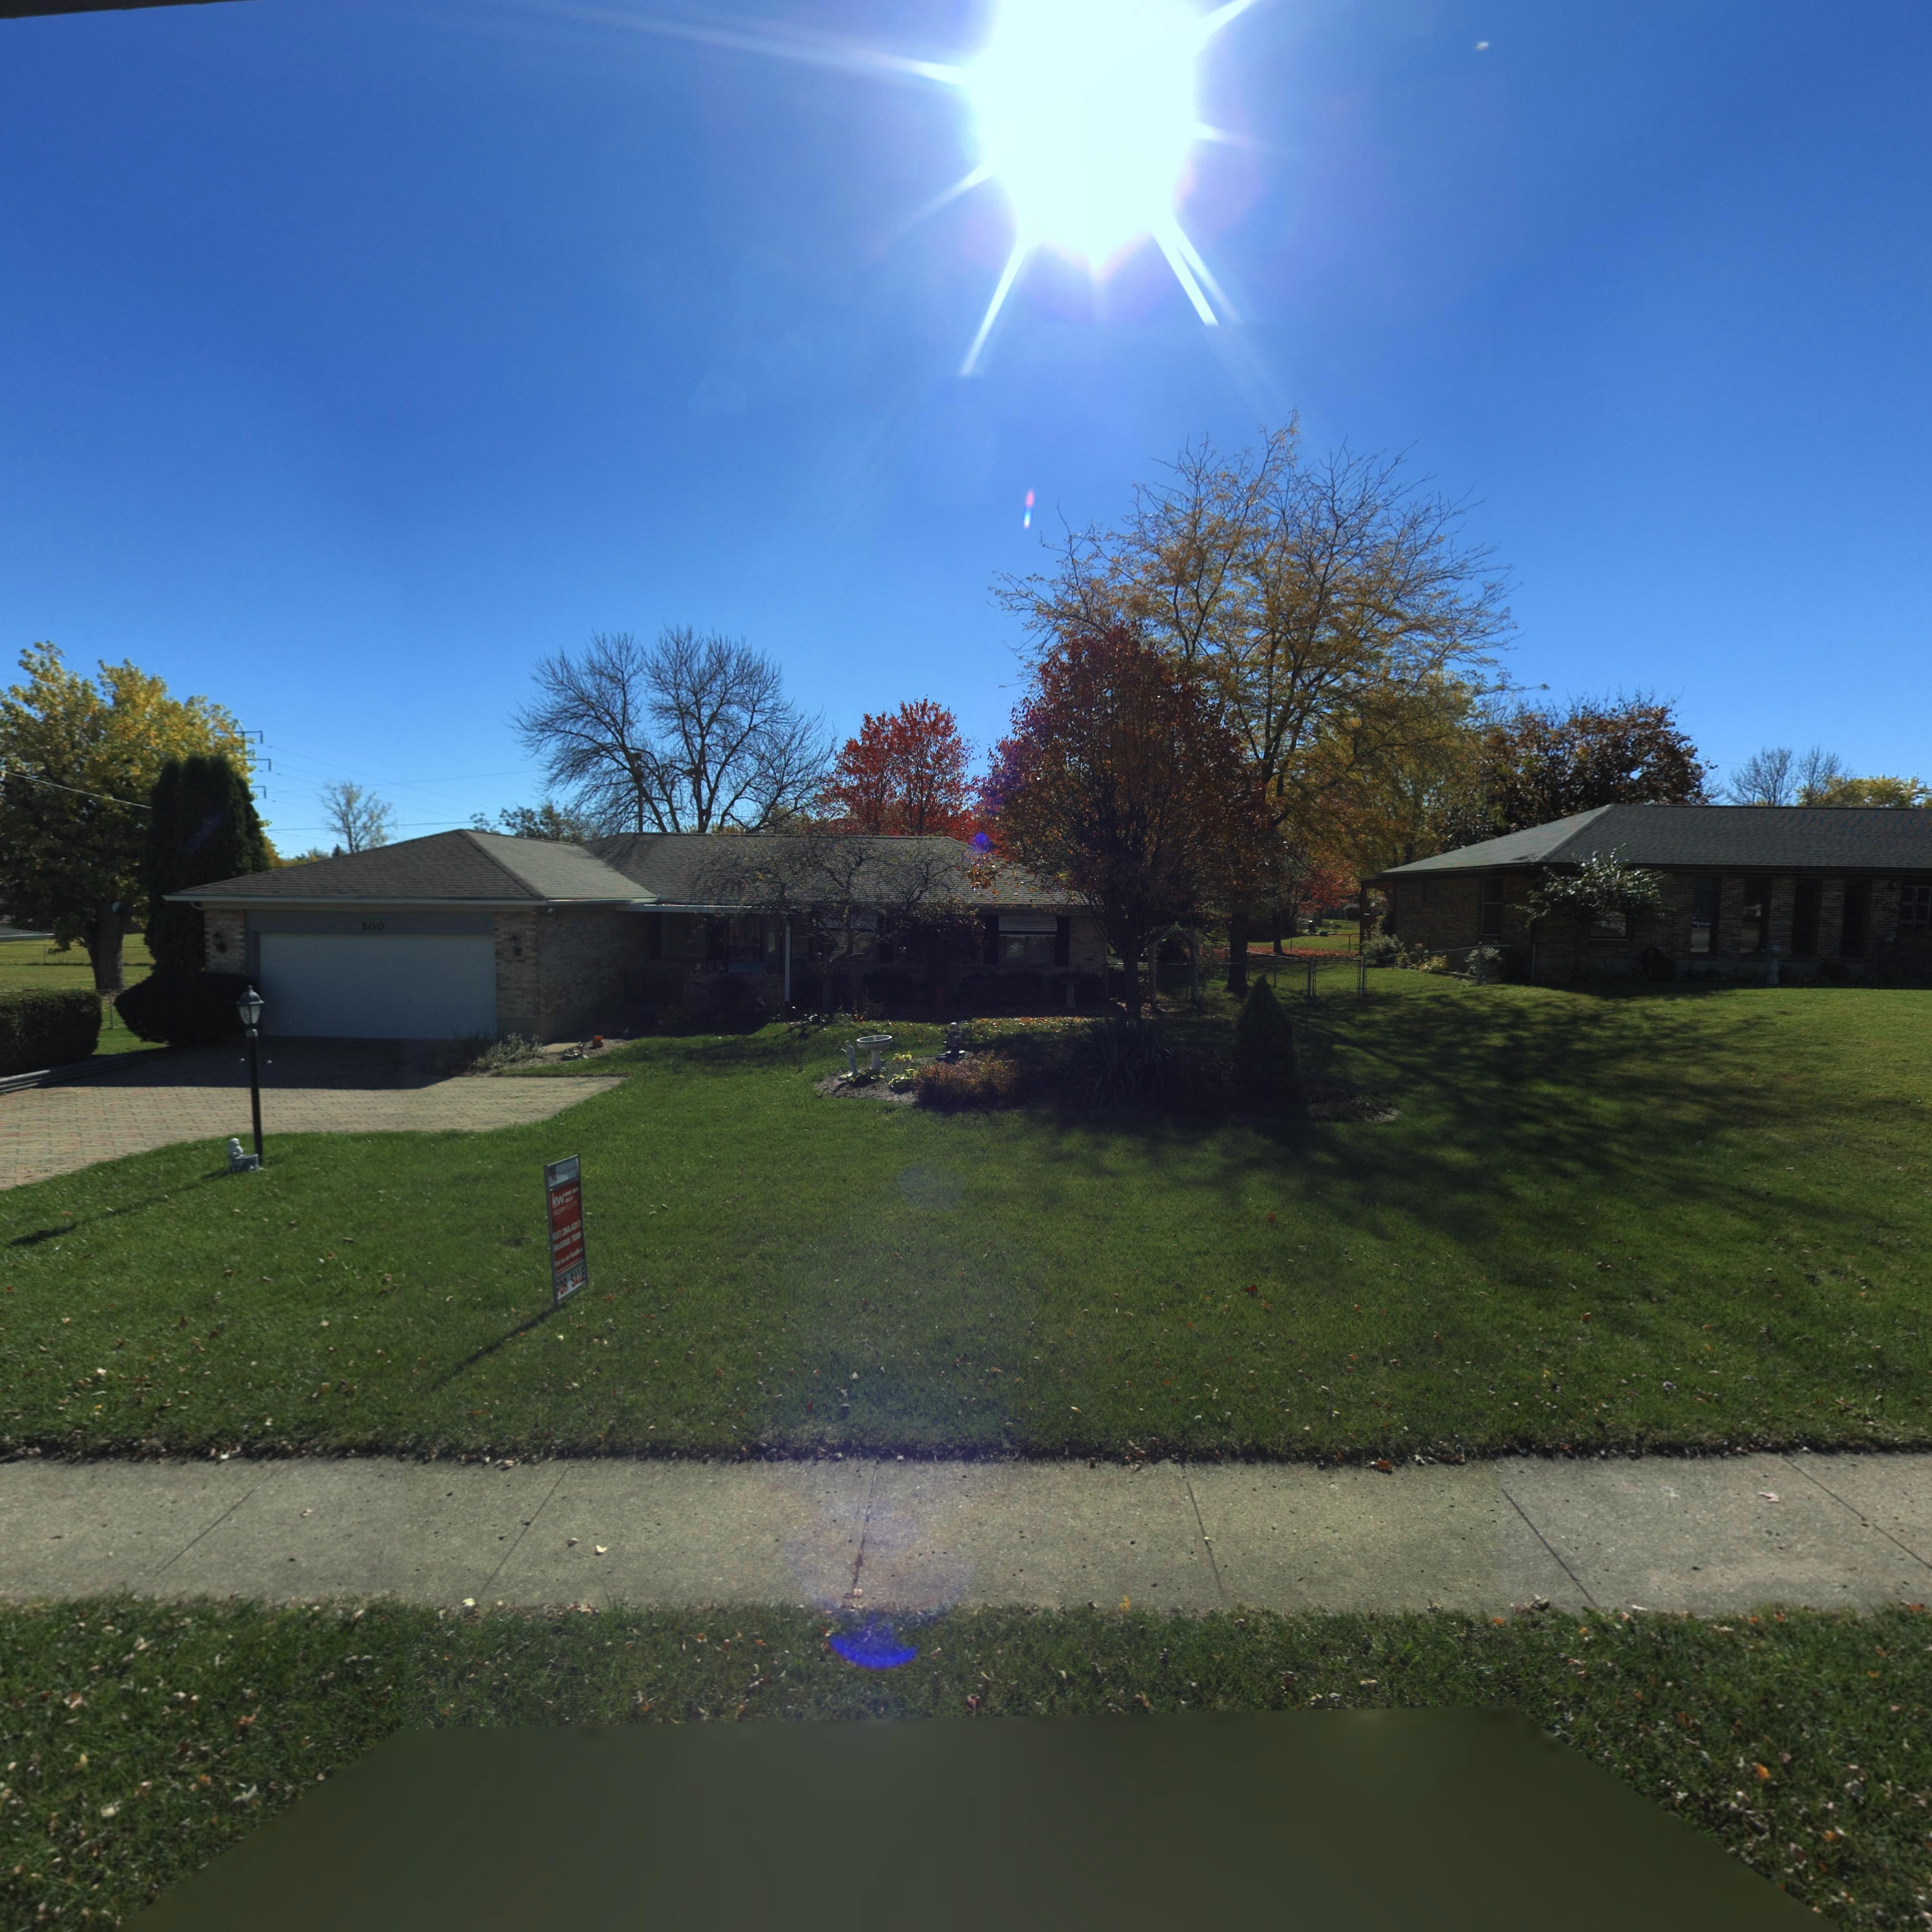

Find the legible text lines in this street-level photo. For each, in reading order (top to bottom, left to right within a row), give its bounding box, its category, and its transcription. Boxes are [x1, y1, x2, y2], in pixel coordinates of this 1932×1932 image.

[360, 921, 386, 932] StreetNumber: 500